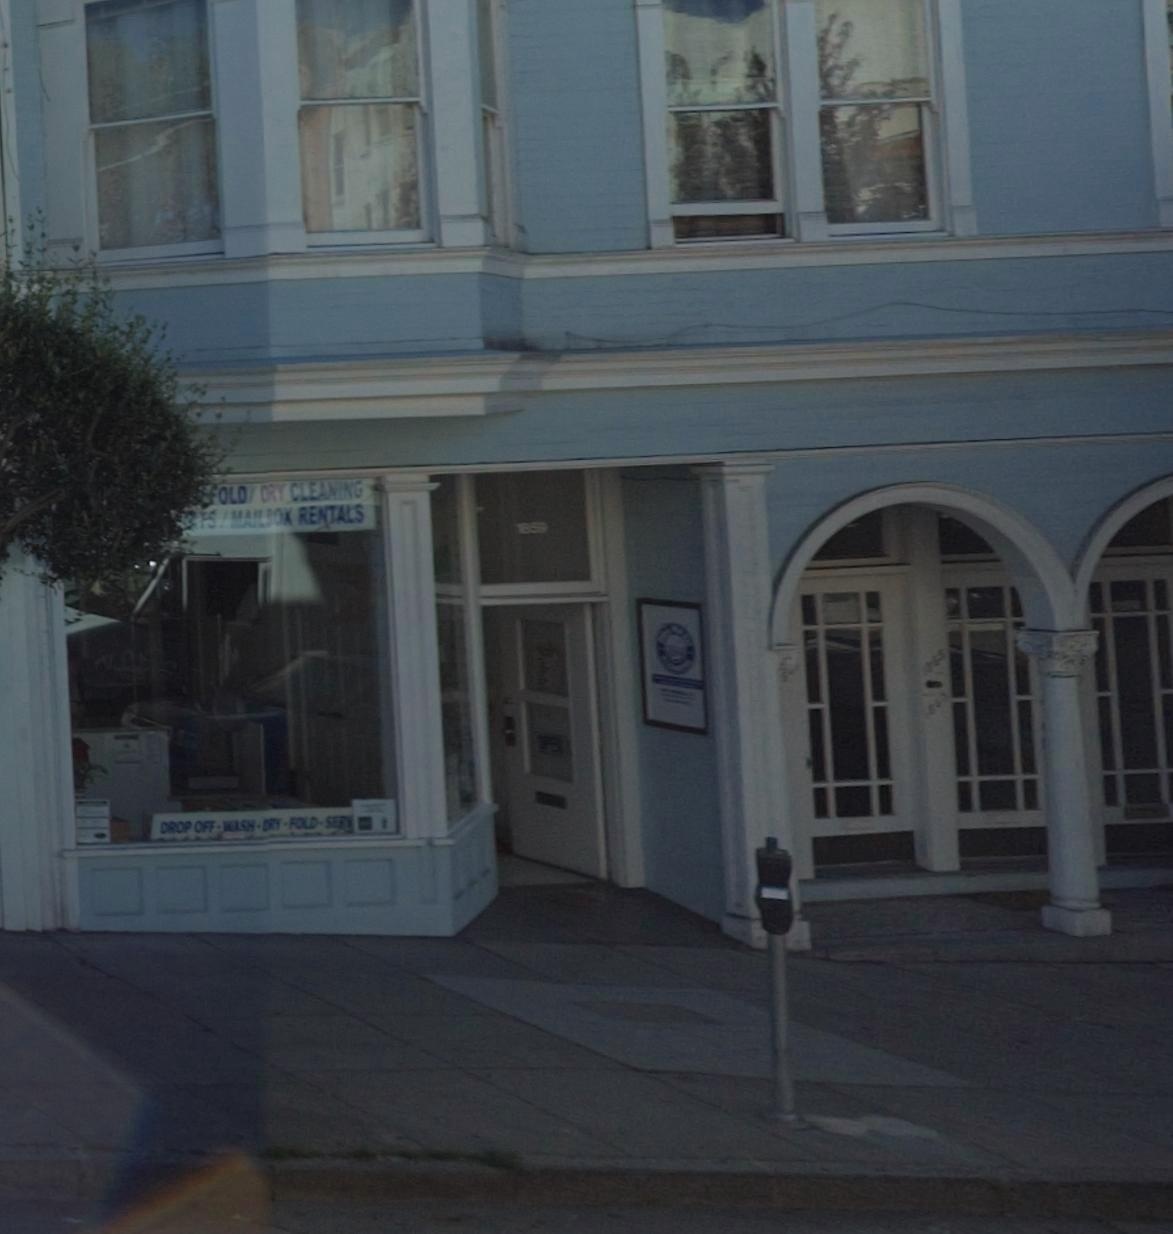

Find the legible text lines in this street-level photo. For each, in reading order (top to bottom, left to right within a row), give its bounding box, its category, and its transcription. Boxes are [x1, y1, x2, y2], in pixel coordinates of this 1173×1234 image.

[216, 478, 366, 507] None: OLD* DRY CLEANING
[229, 502, 366, 530] None: MAILBOX RENTALS
[516, 521, 549, 535] StreetNumber: 1859
[921, 646, 948, 679] StreetNumber: 1865
[921, 690, 950, 722] StreetNumber: 1865
[158, 814, 349, 836] None: DROP OFF WASH DRY FOLD SER